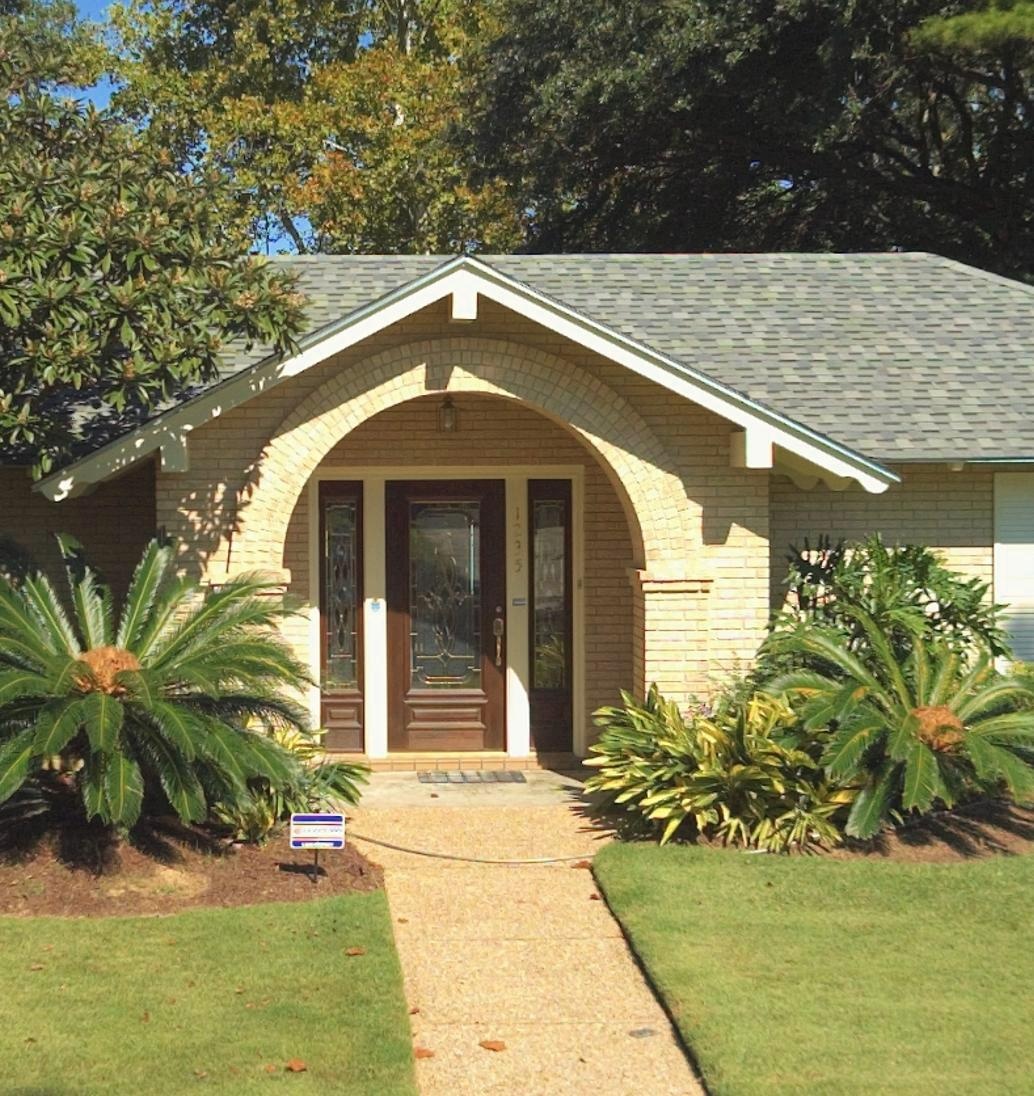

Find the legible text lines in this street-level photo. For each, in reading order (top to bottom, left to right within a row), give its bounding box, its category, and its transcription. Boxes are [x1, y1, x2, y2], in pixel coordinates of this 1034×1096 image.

[509, 504, 526, 577] StreetNumber: 1235